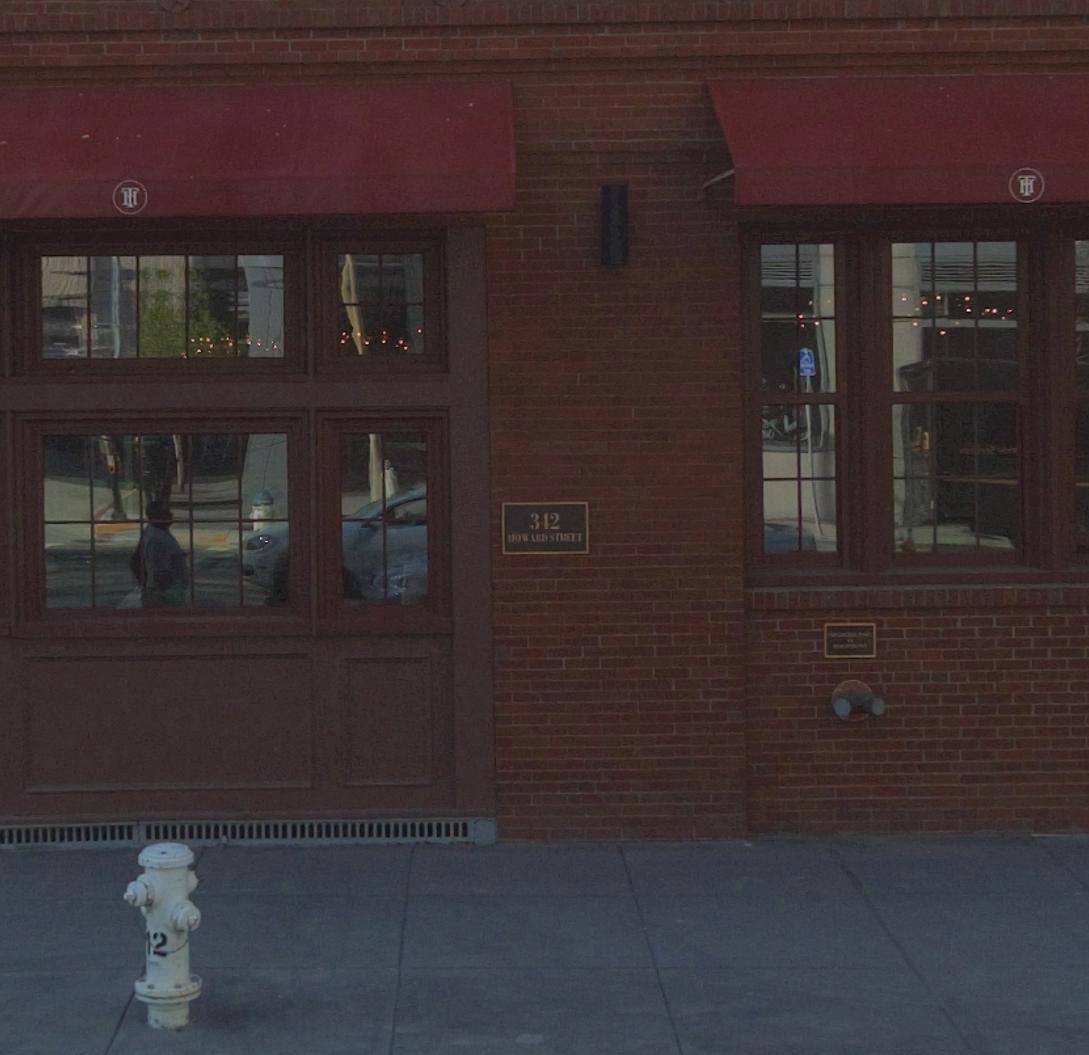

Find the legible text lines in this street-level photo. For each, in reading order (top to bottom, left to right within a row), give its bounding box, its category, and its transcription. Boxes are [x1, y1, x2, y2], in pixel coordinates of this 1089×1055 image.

[528, 511, 561, 531] StreetNumber: 342
[507, 532, 584, 544] StreetName: BOWARD STREET
[152, 931, 168, 958] None: 2